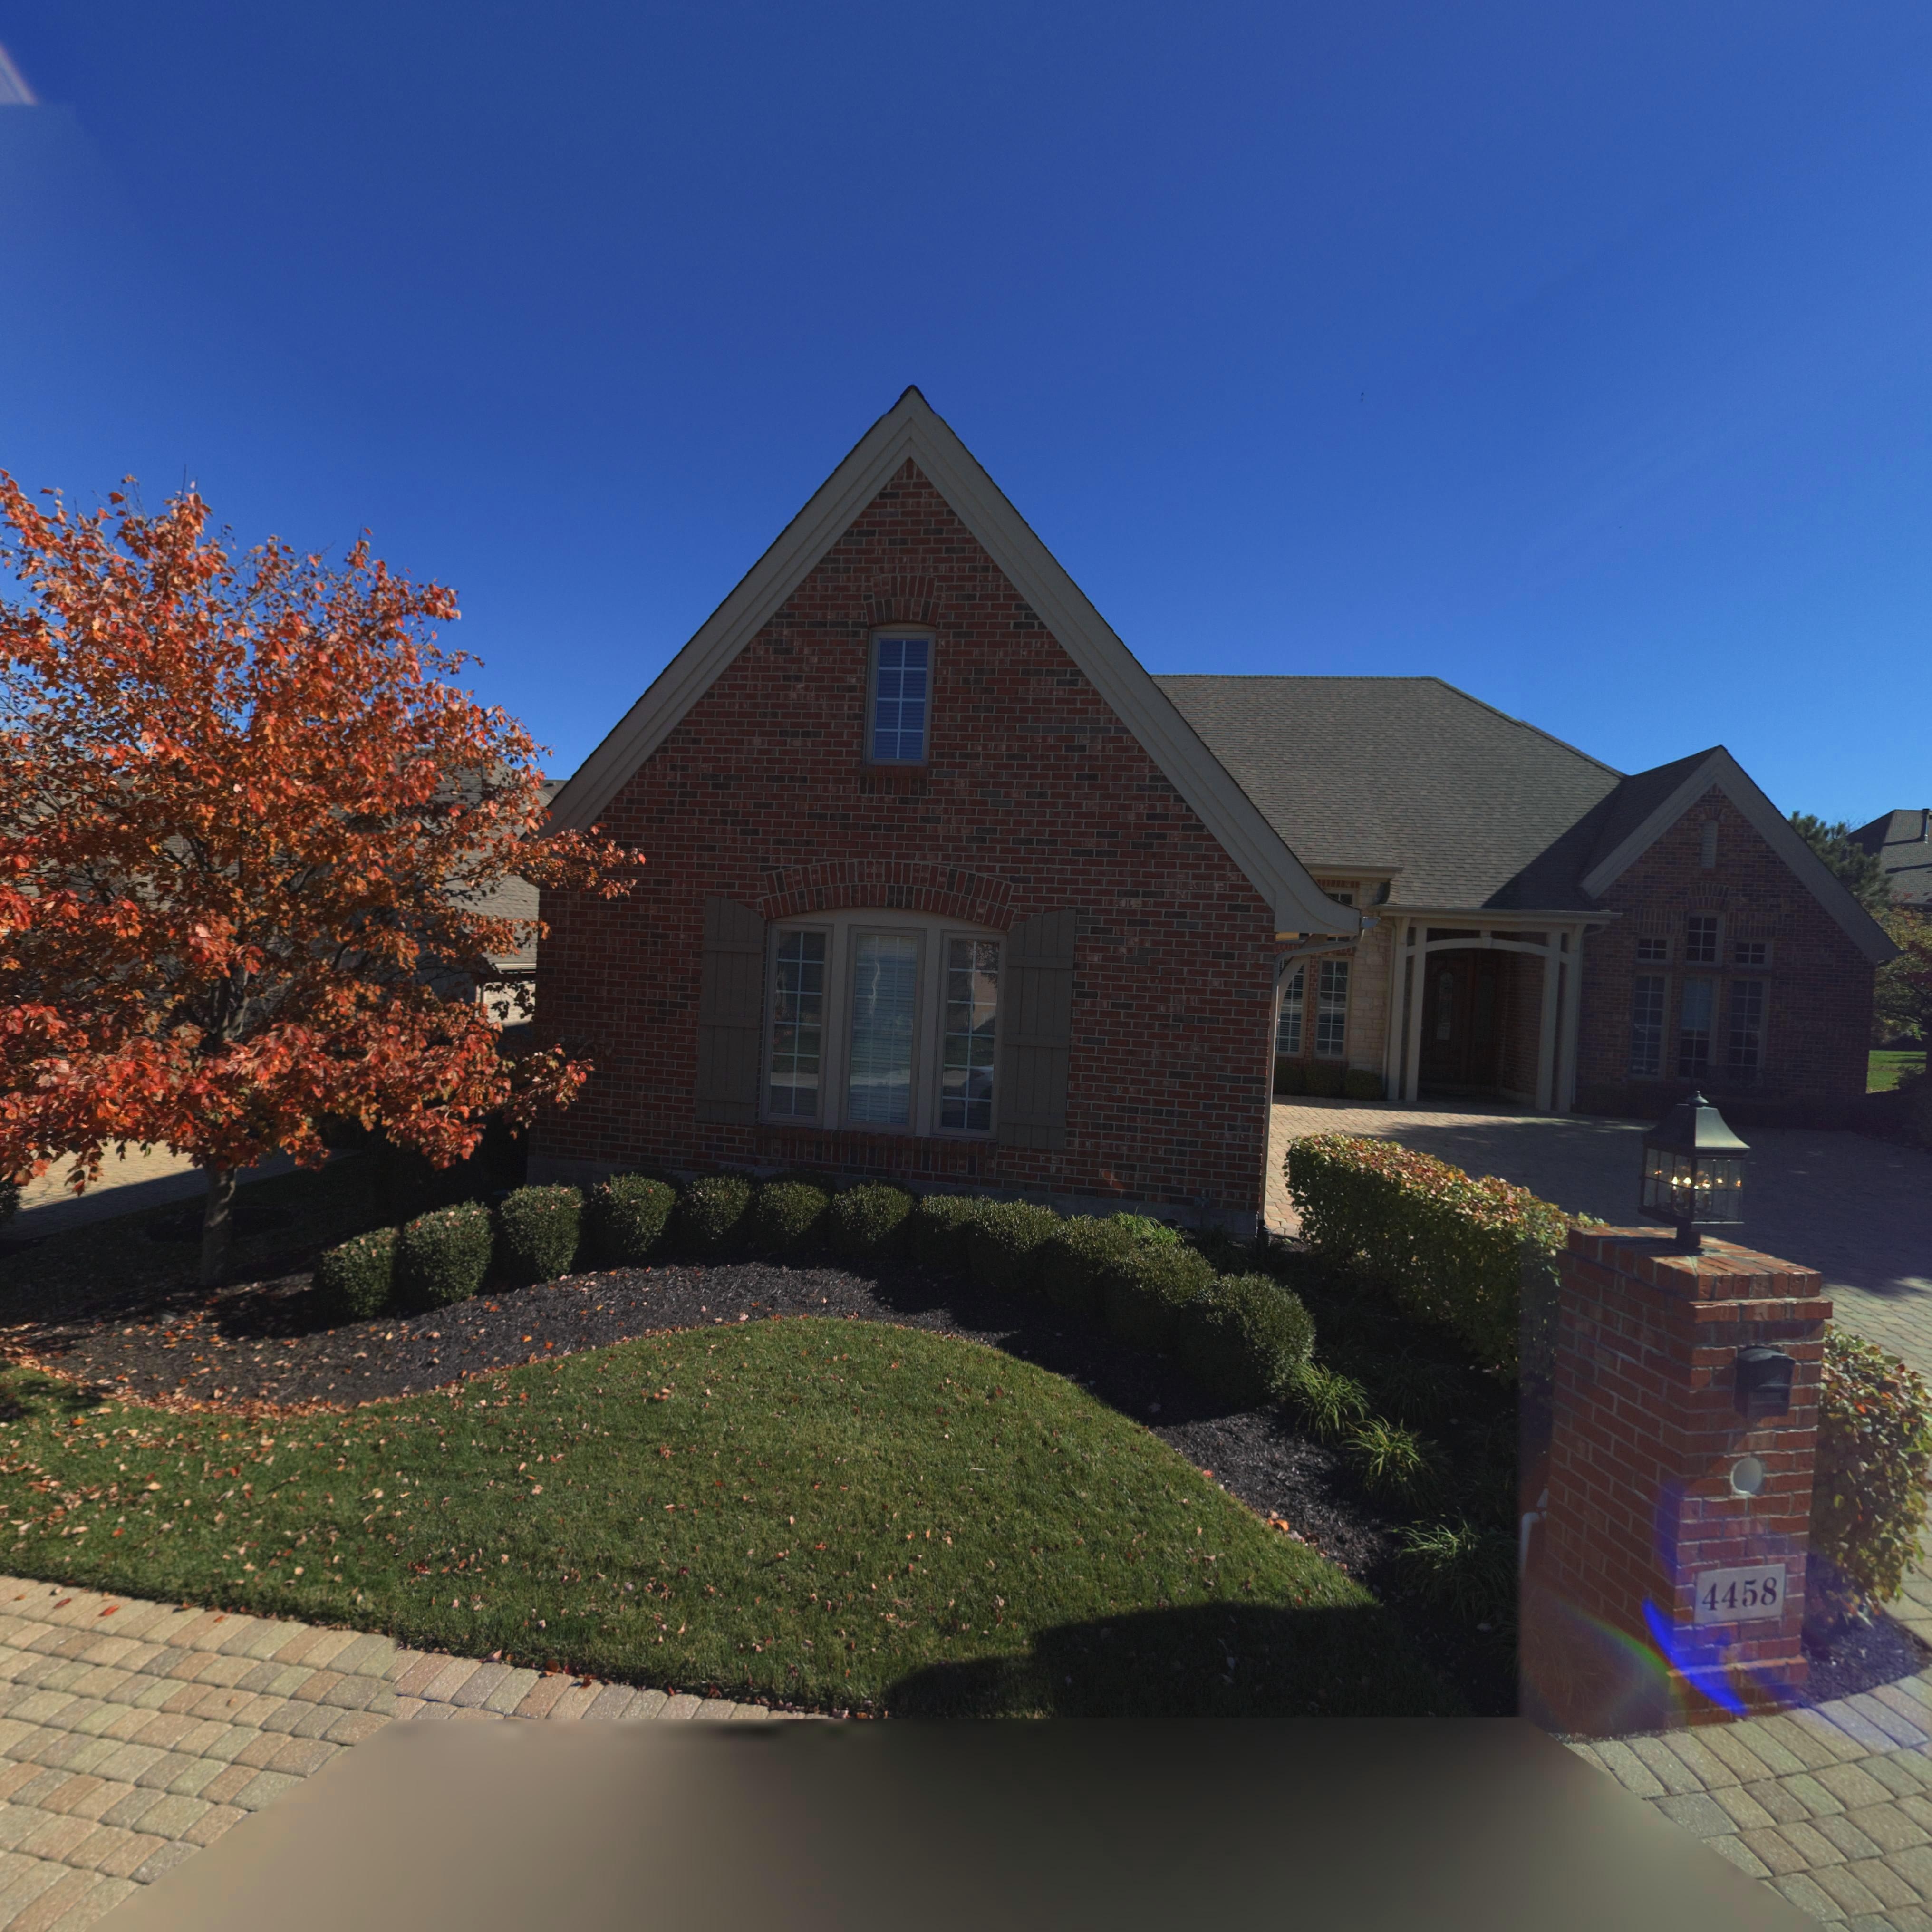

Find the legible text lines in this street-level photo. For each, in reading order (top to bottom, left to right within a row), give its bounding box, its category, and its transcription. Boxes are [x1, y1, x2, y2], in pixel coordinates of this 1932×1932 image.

[1699, 1573, 1780, 1614] StreetNumber: 4458